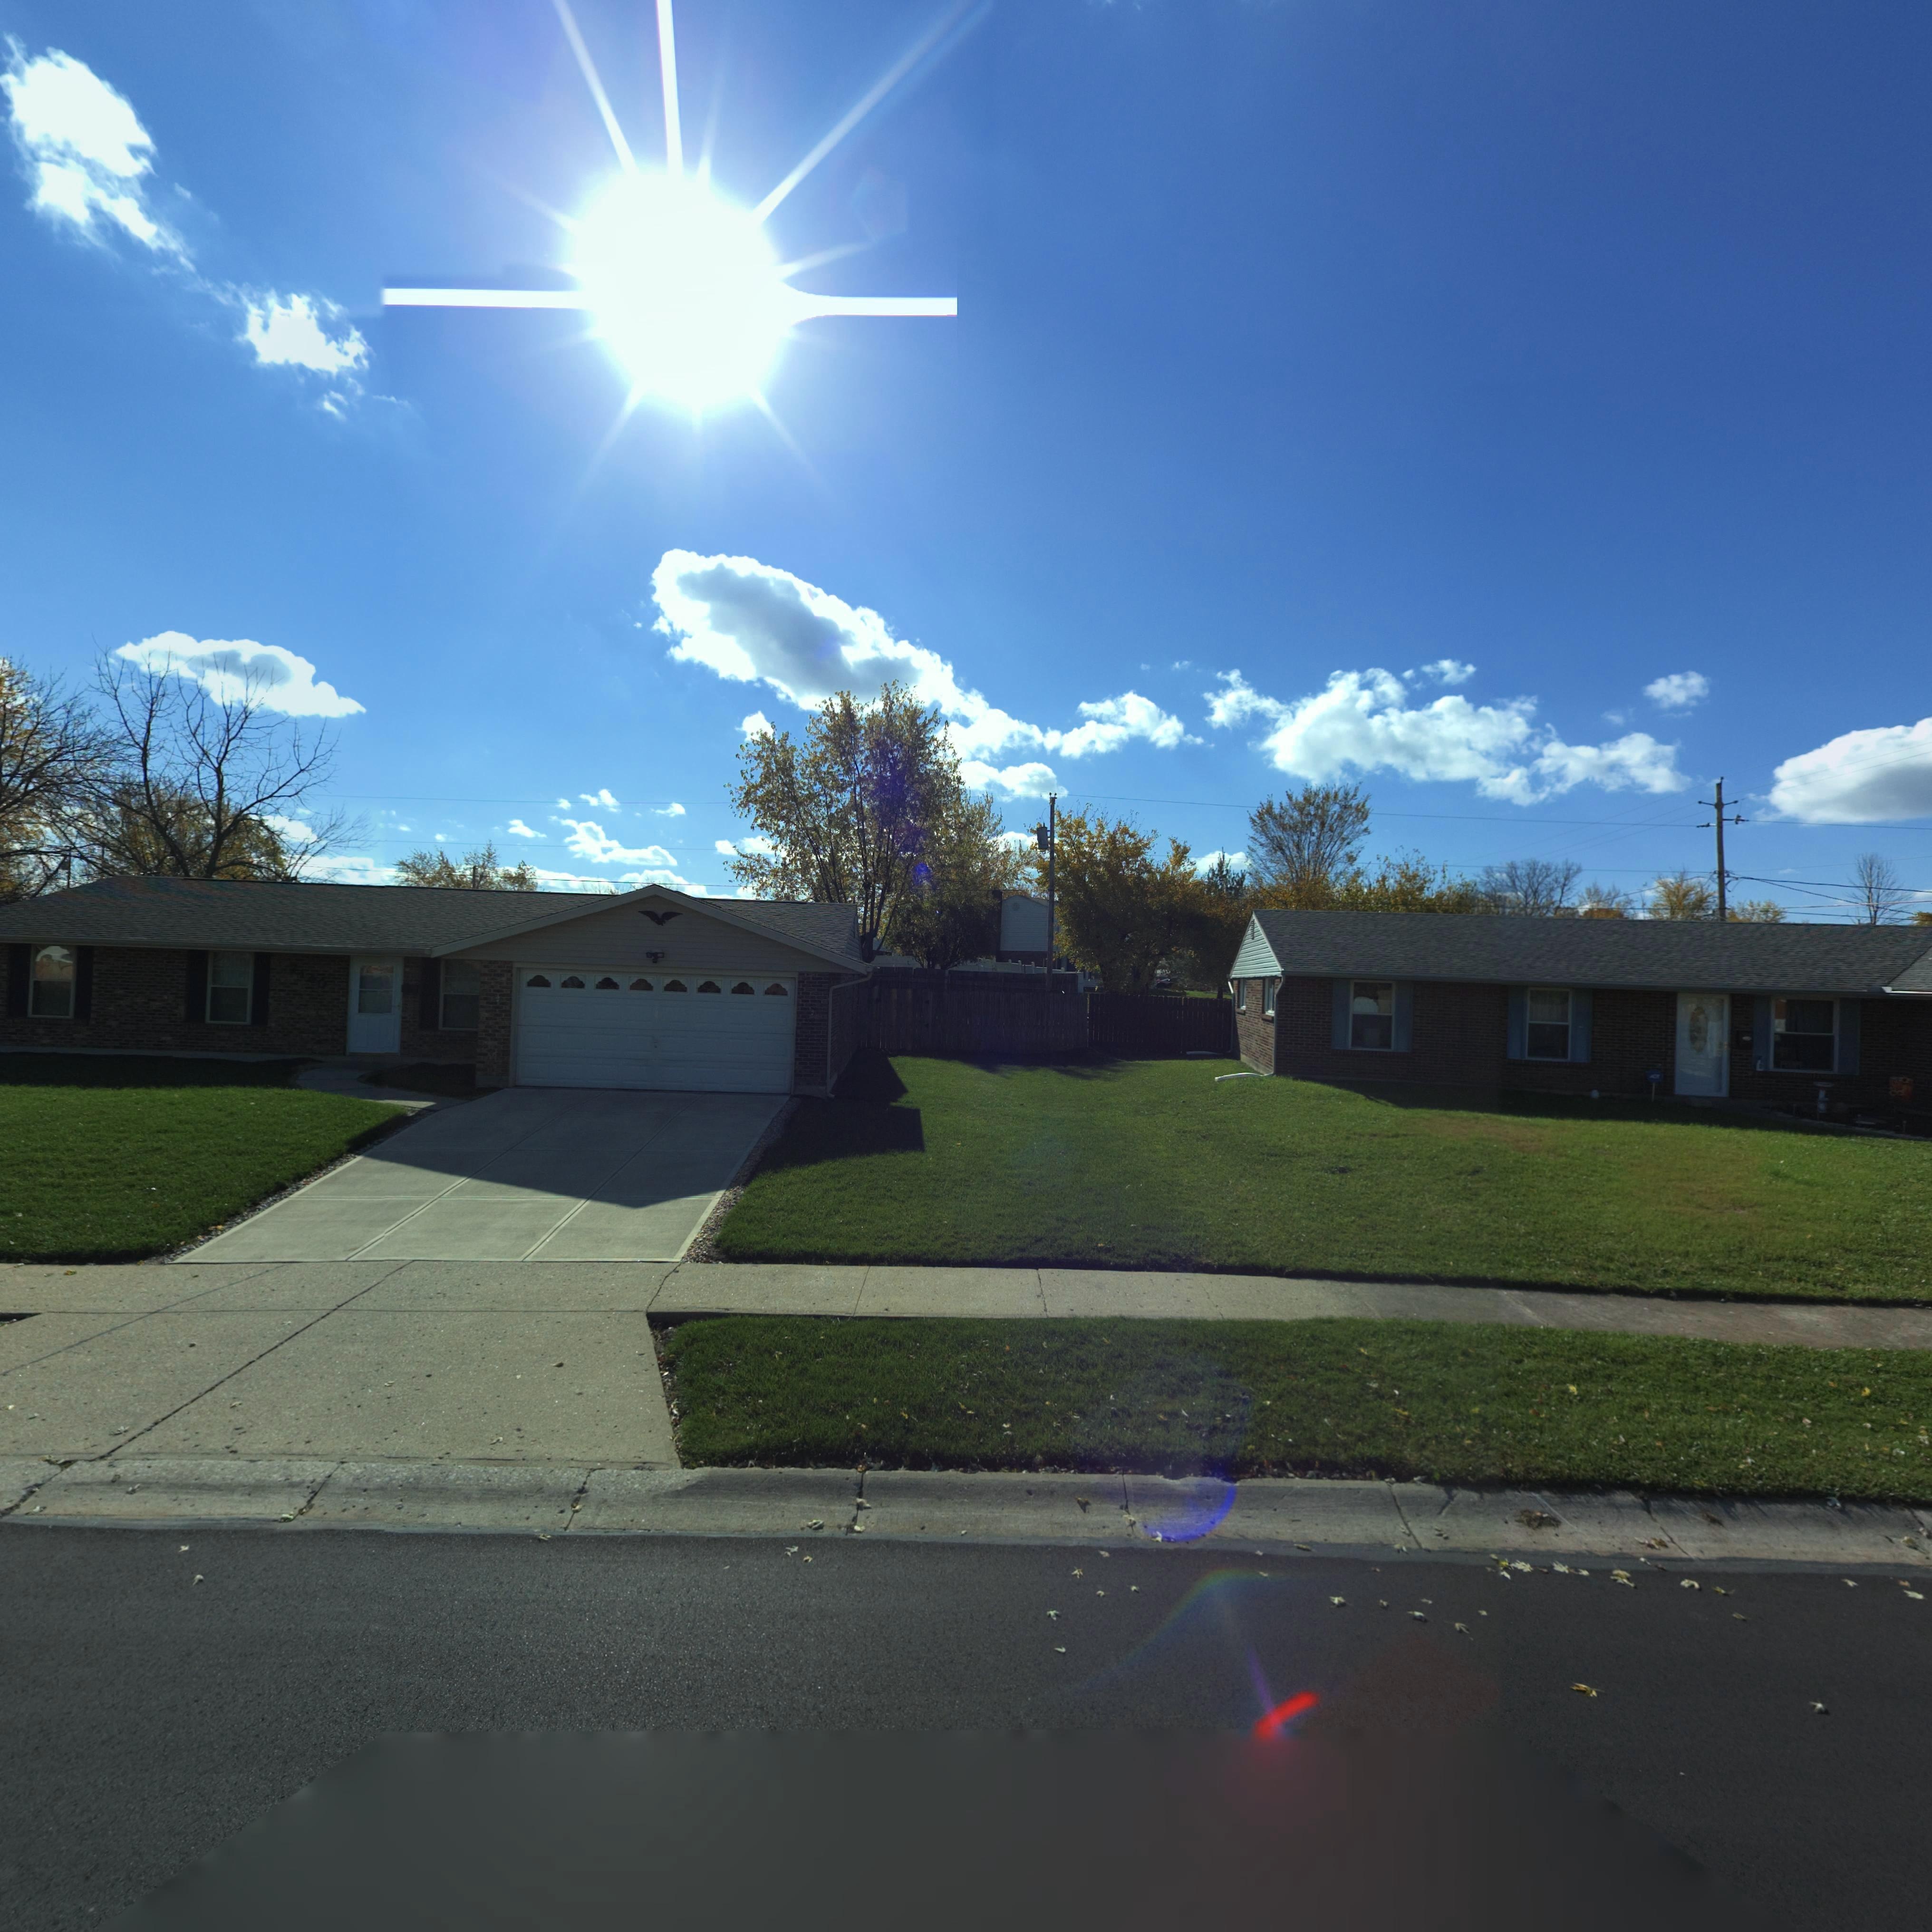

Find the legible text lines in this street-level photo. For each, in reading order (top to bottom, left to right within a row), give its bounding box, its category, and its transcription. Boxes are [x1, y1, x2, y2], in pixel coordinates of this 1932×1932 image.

[288, 962, 328, 992] StreetNumber: ***0